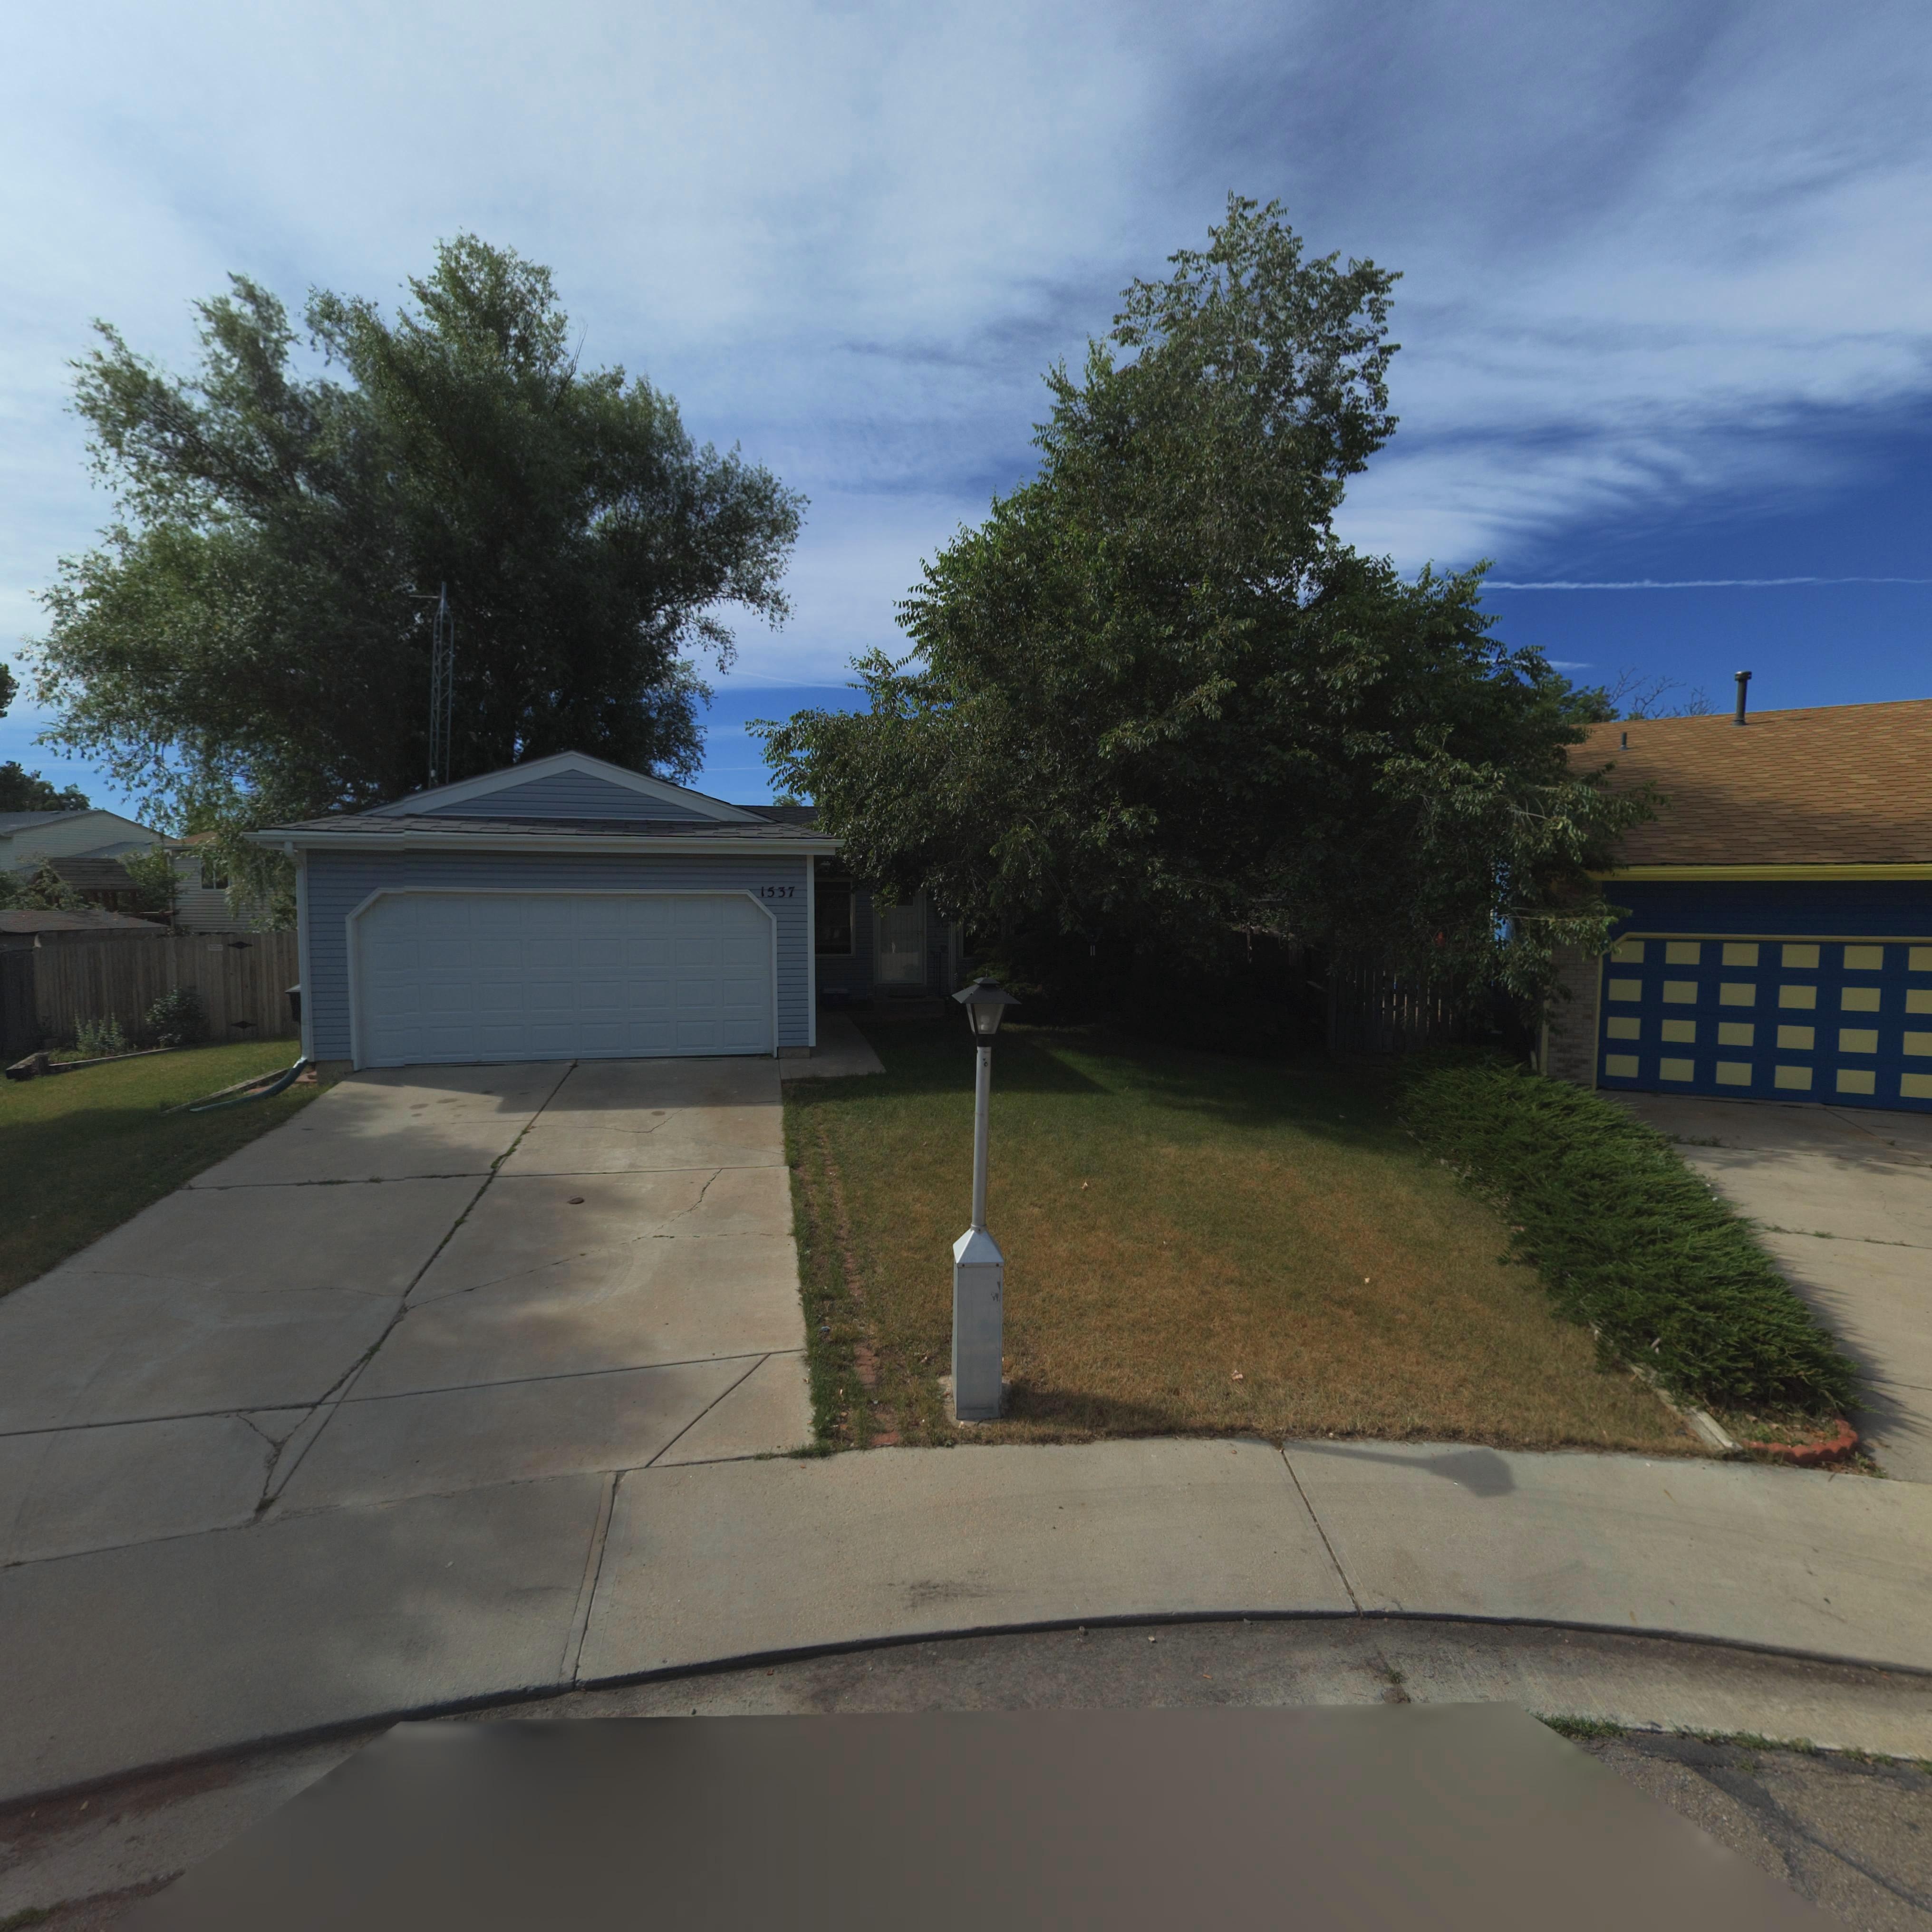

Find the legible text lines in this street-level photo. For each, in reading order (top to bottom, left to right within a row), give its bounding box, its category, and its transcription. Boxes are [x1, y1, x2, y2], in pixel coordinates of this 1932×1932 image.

[760, 885, 795, 898] StreetNumber: 1537